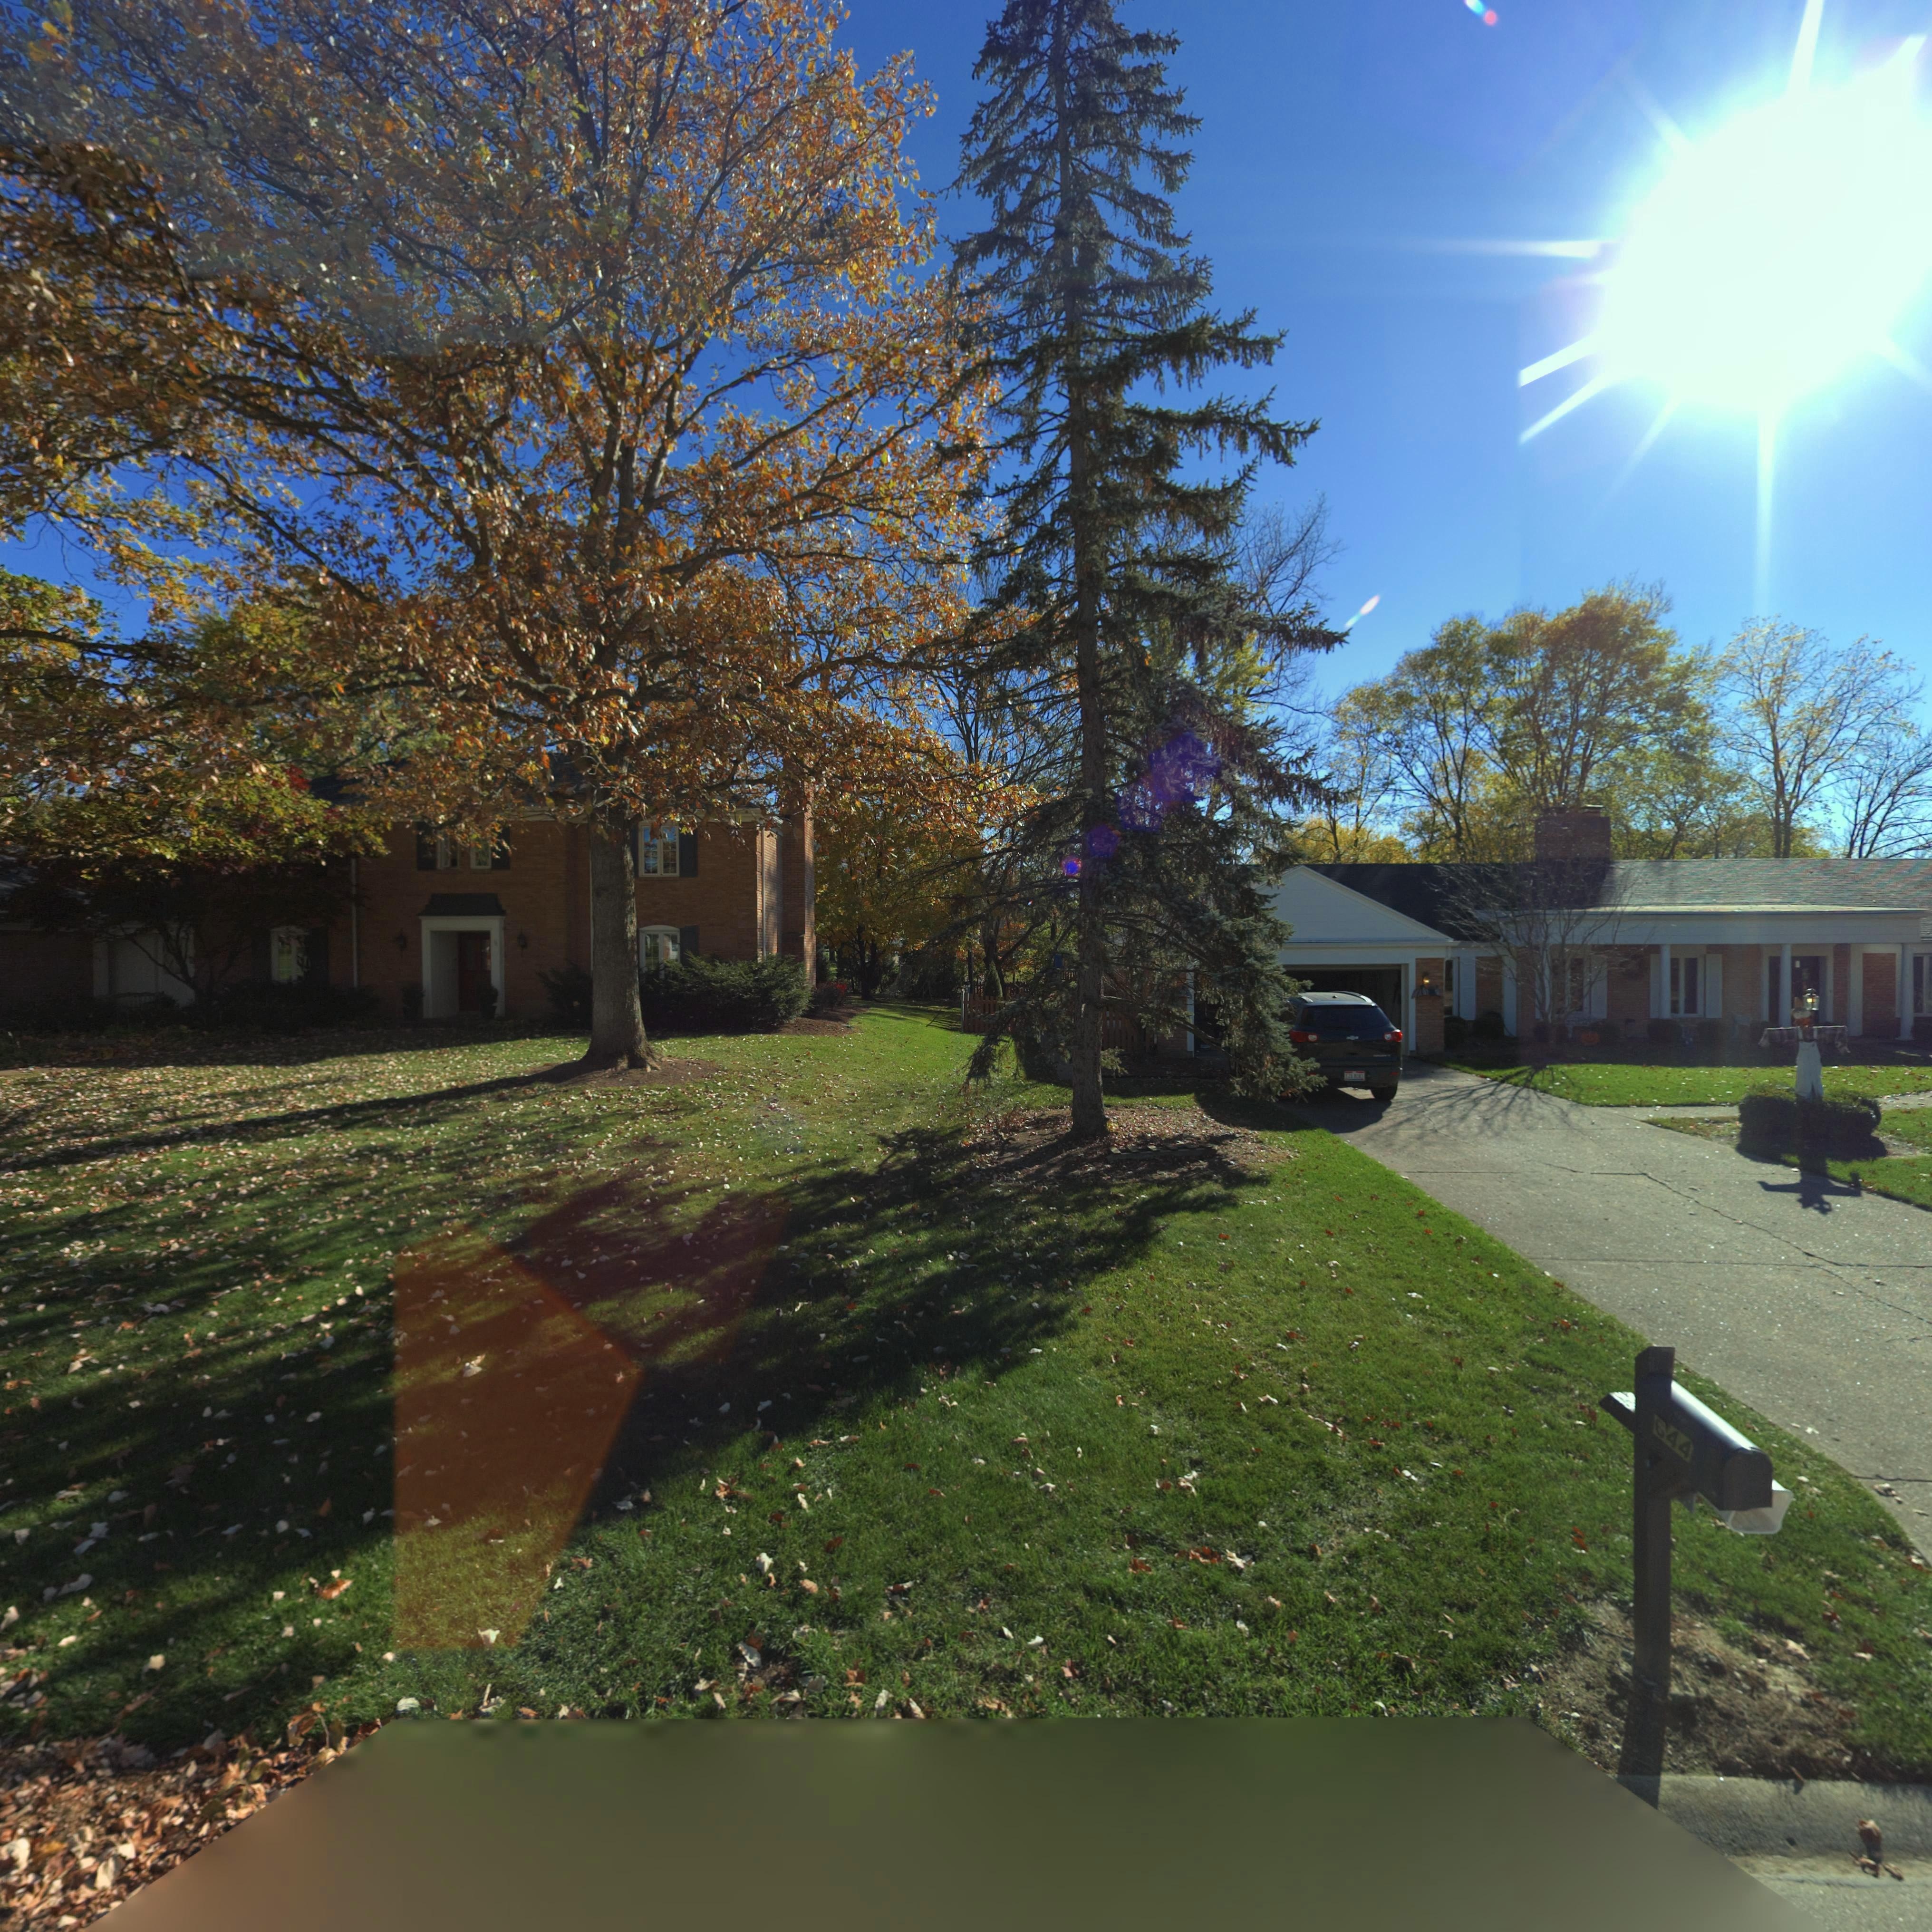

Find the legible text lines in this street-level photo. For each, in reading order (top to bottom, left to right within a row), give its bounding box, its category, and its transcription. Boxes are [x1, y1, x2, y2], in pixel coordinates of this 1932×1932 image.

[1654, 1414, 1694, 1463] StreetNumber: 644